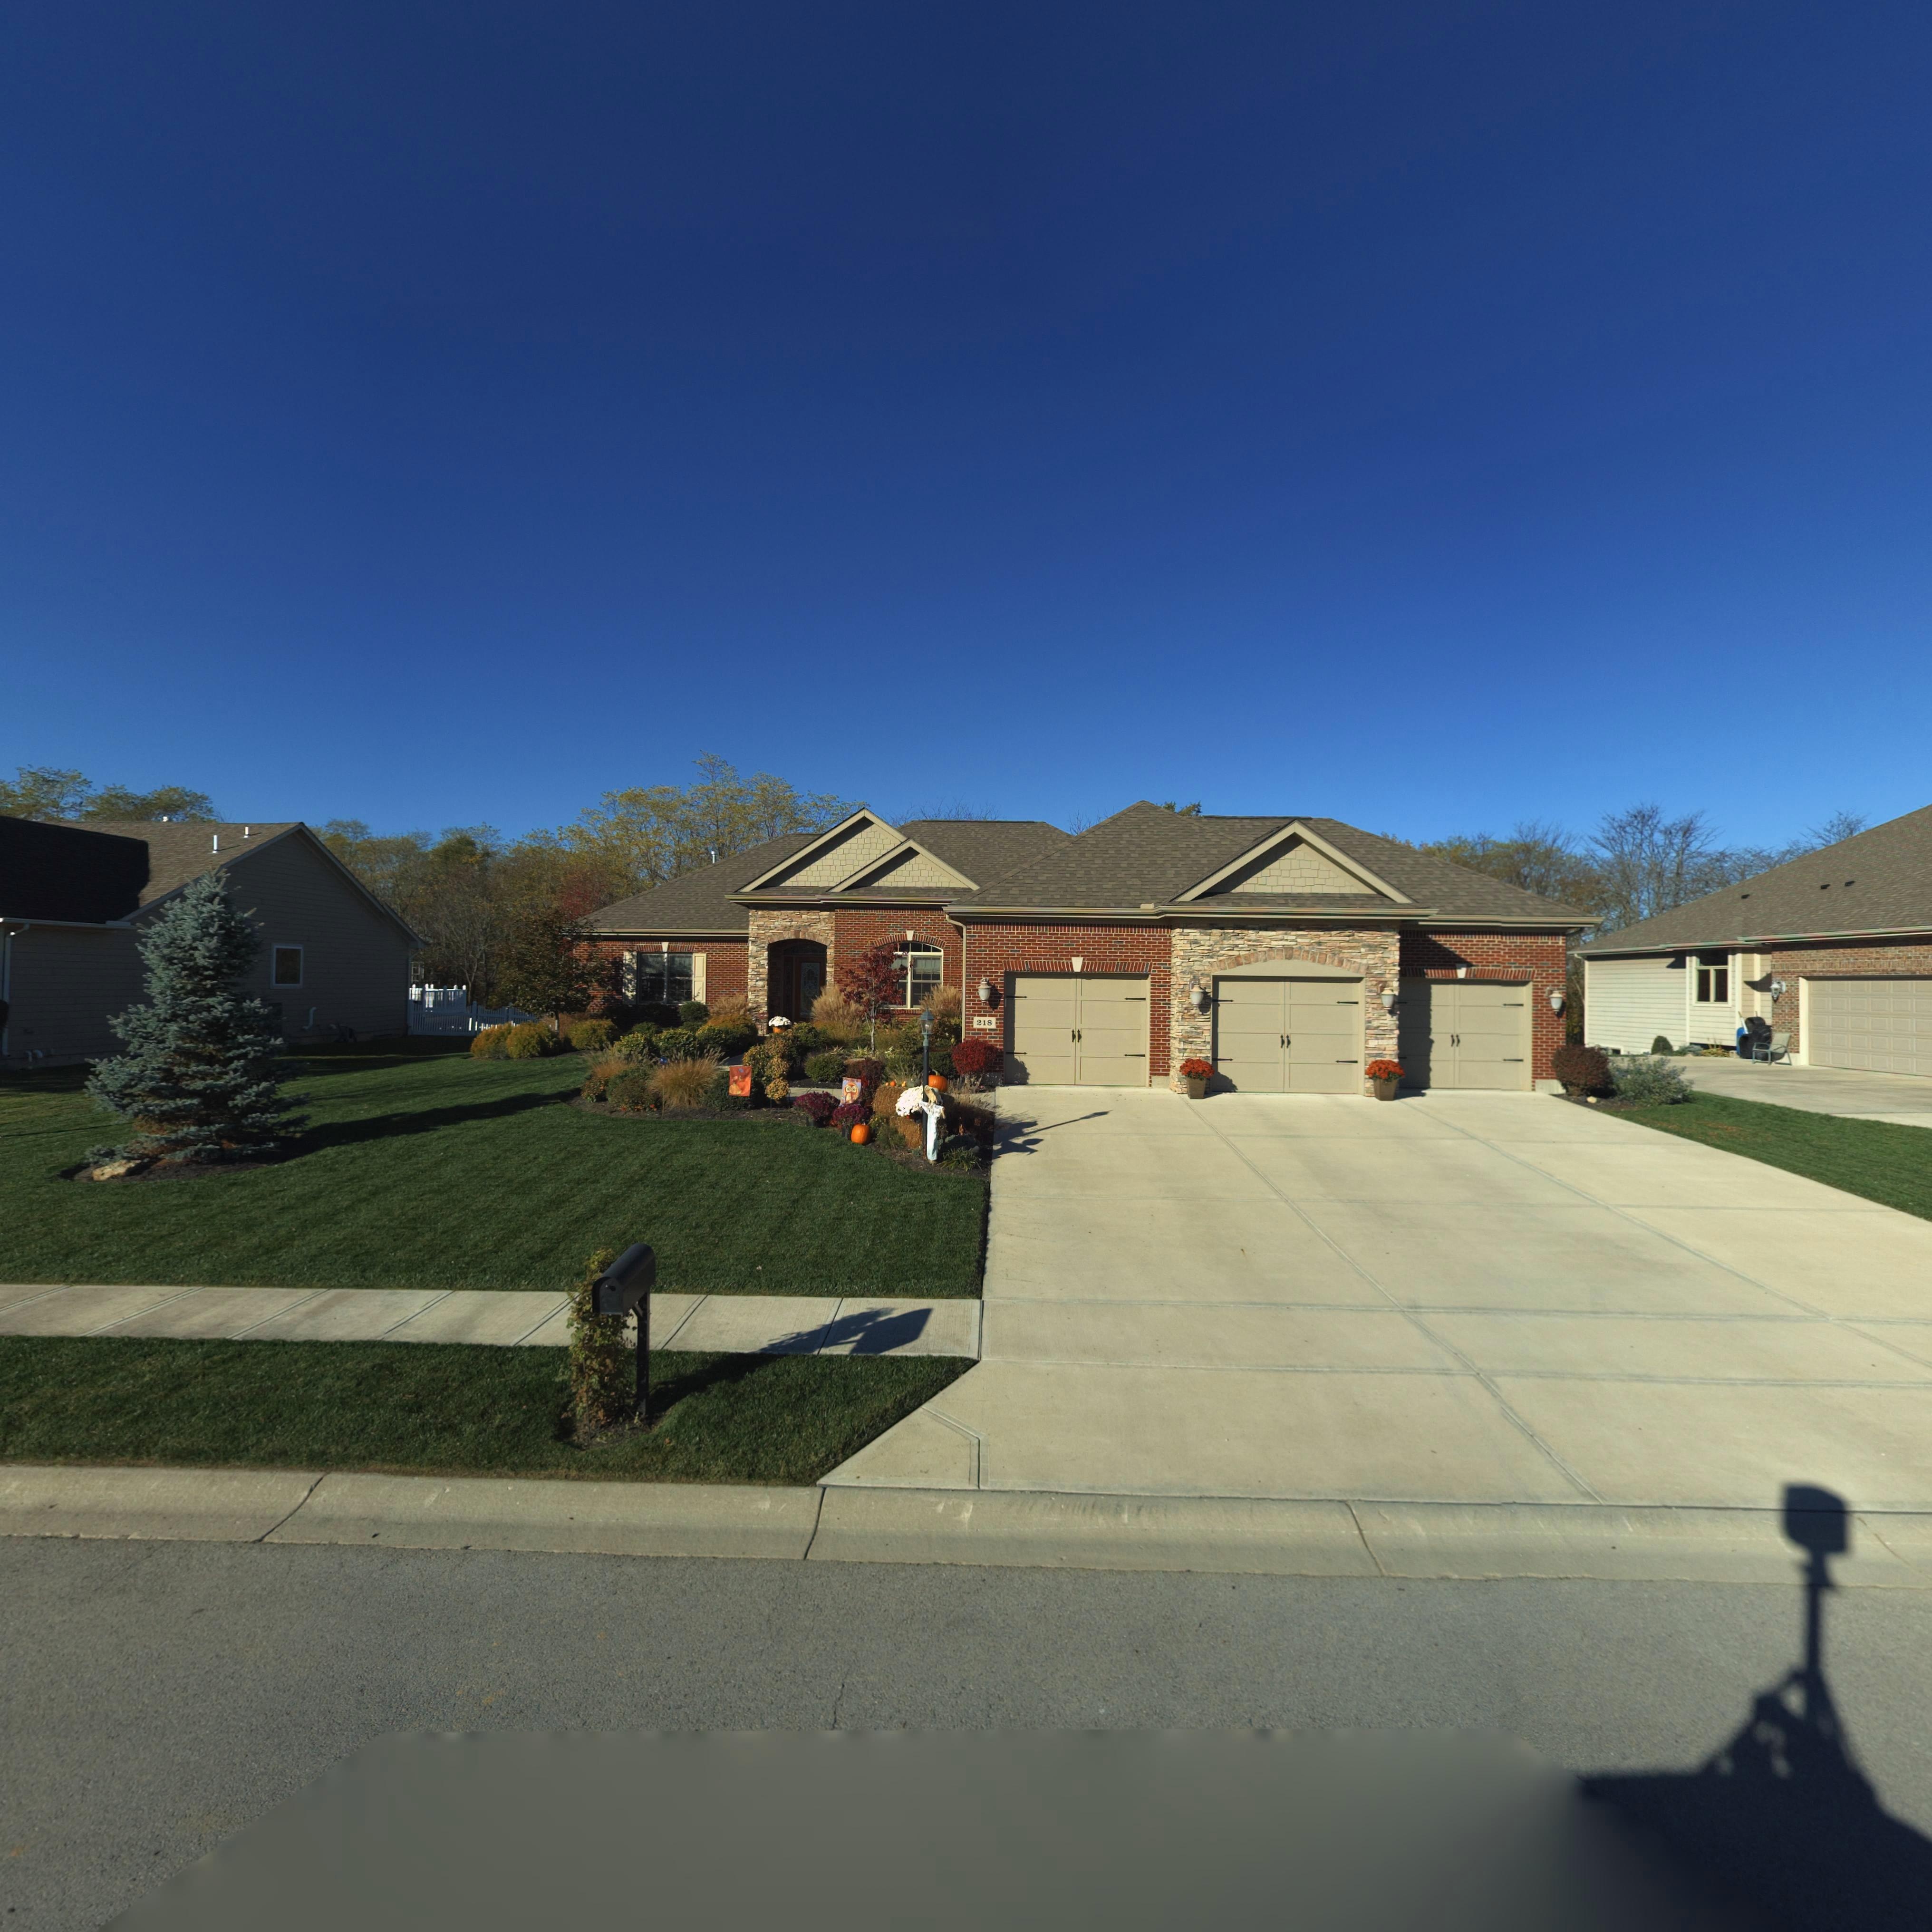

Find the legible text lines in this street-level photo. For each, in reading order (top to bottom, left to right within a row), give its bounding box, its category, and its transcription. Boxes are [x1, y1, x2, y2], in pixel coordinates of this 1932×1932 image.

[976, 1019, 993, 1026] StreetNumber: 218